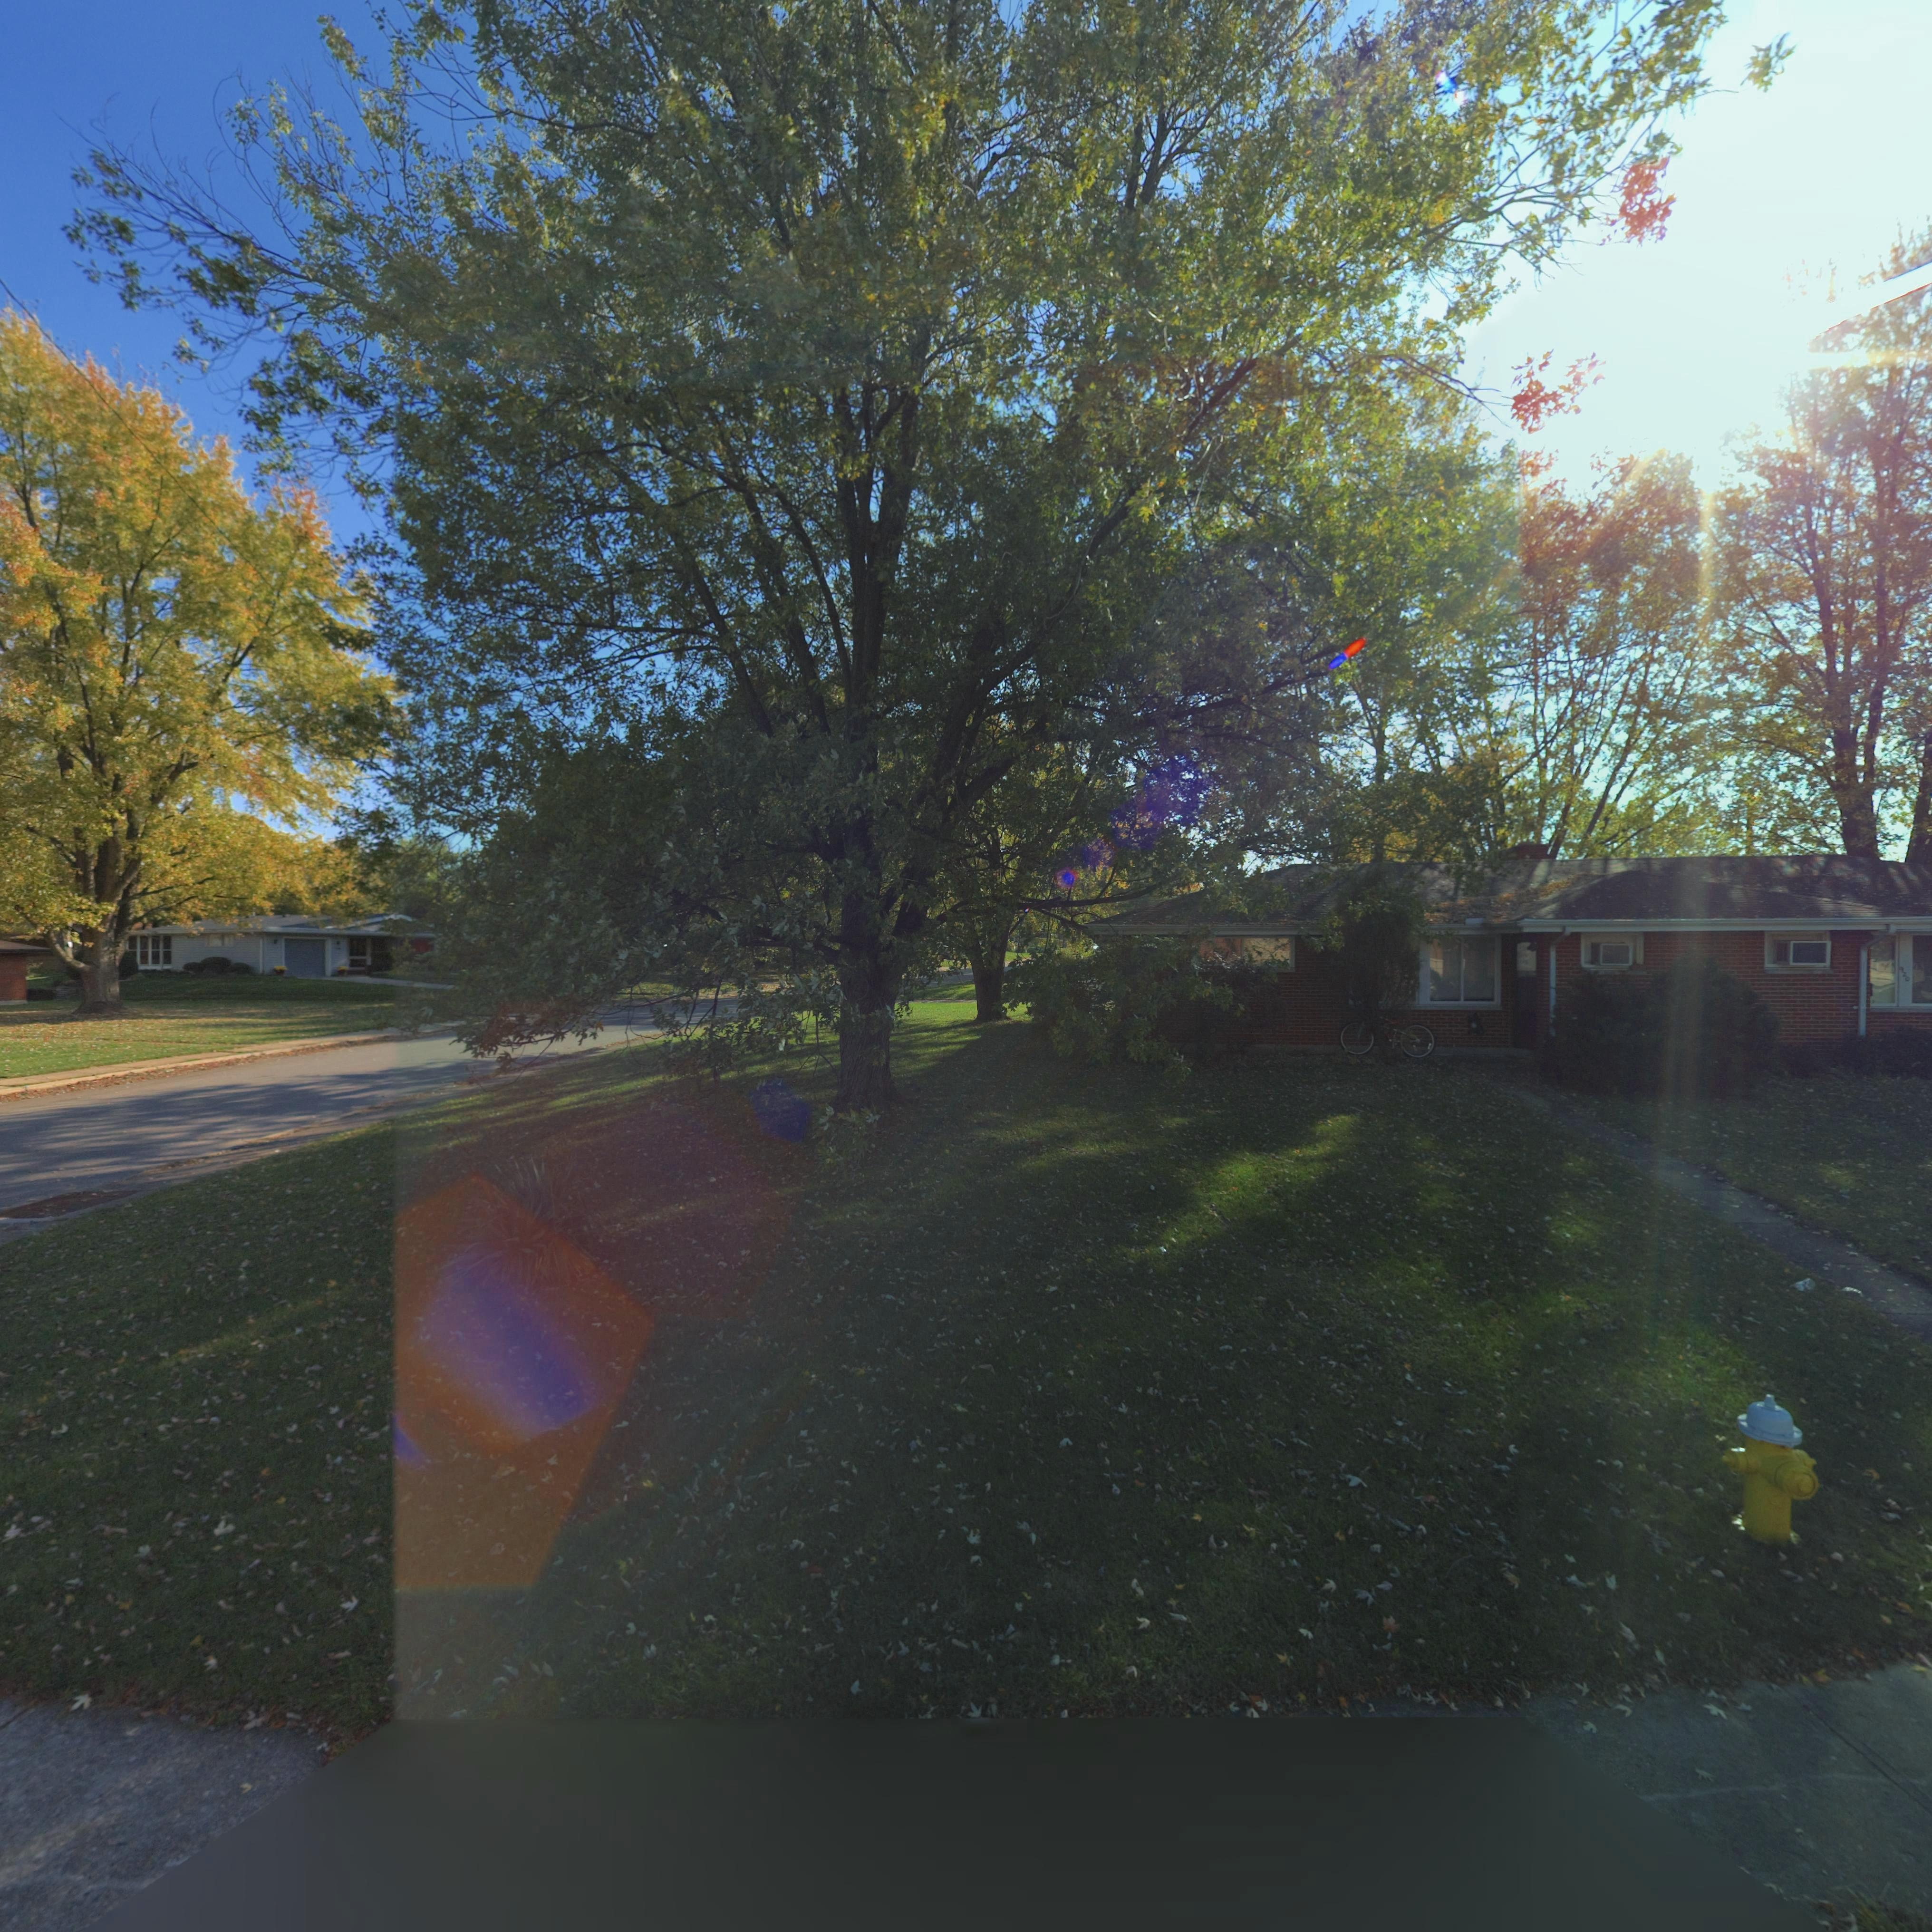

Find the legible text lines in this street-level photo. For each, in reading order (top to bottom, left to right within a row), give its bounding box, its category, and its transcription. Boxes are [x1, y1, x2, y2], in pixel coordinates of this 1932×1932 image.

[1899, 966, 1910, 982] StreetNumber: 920